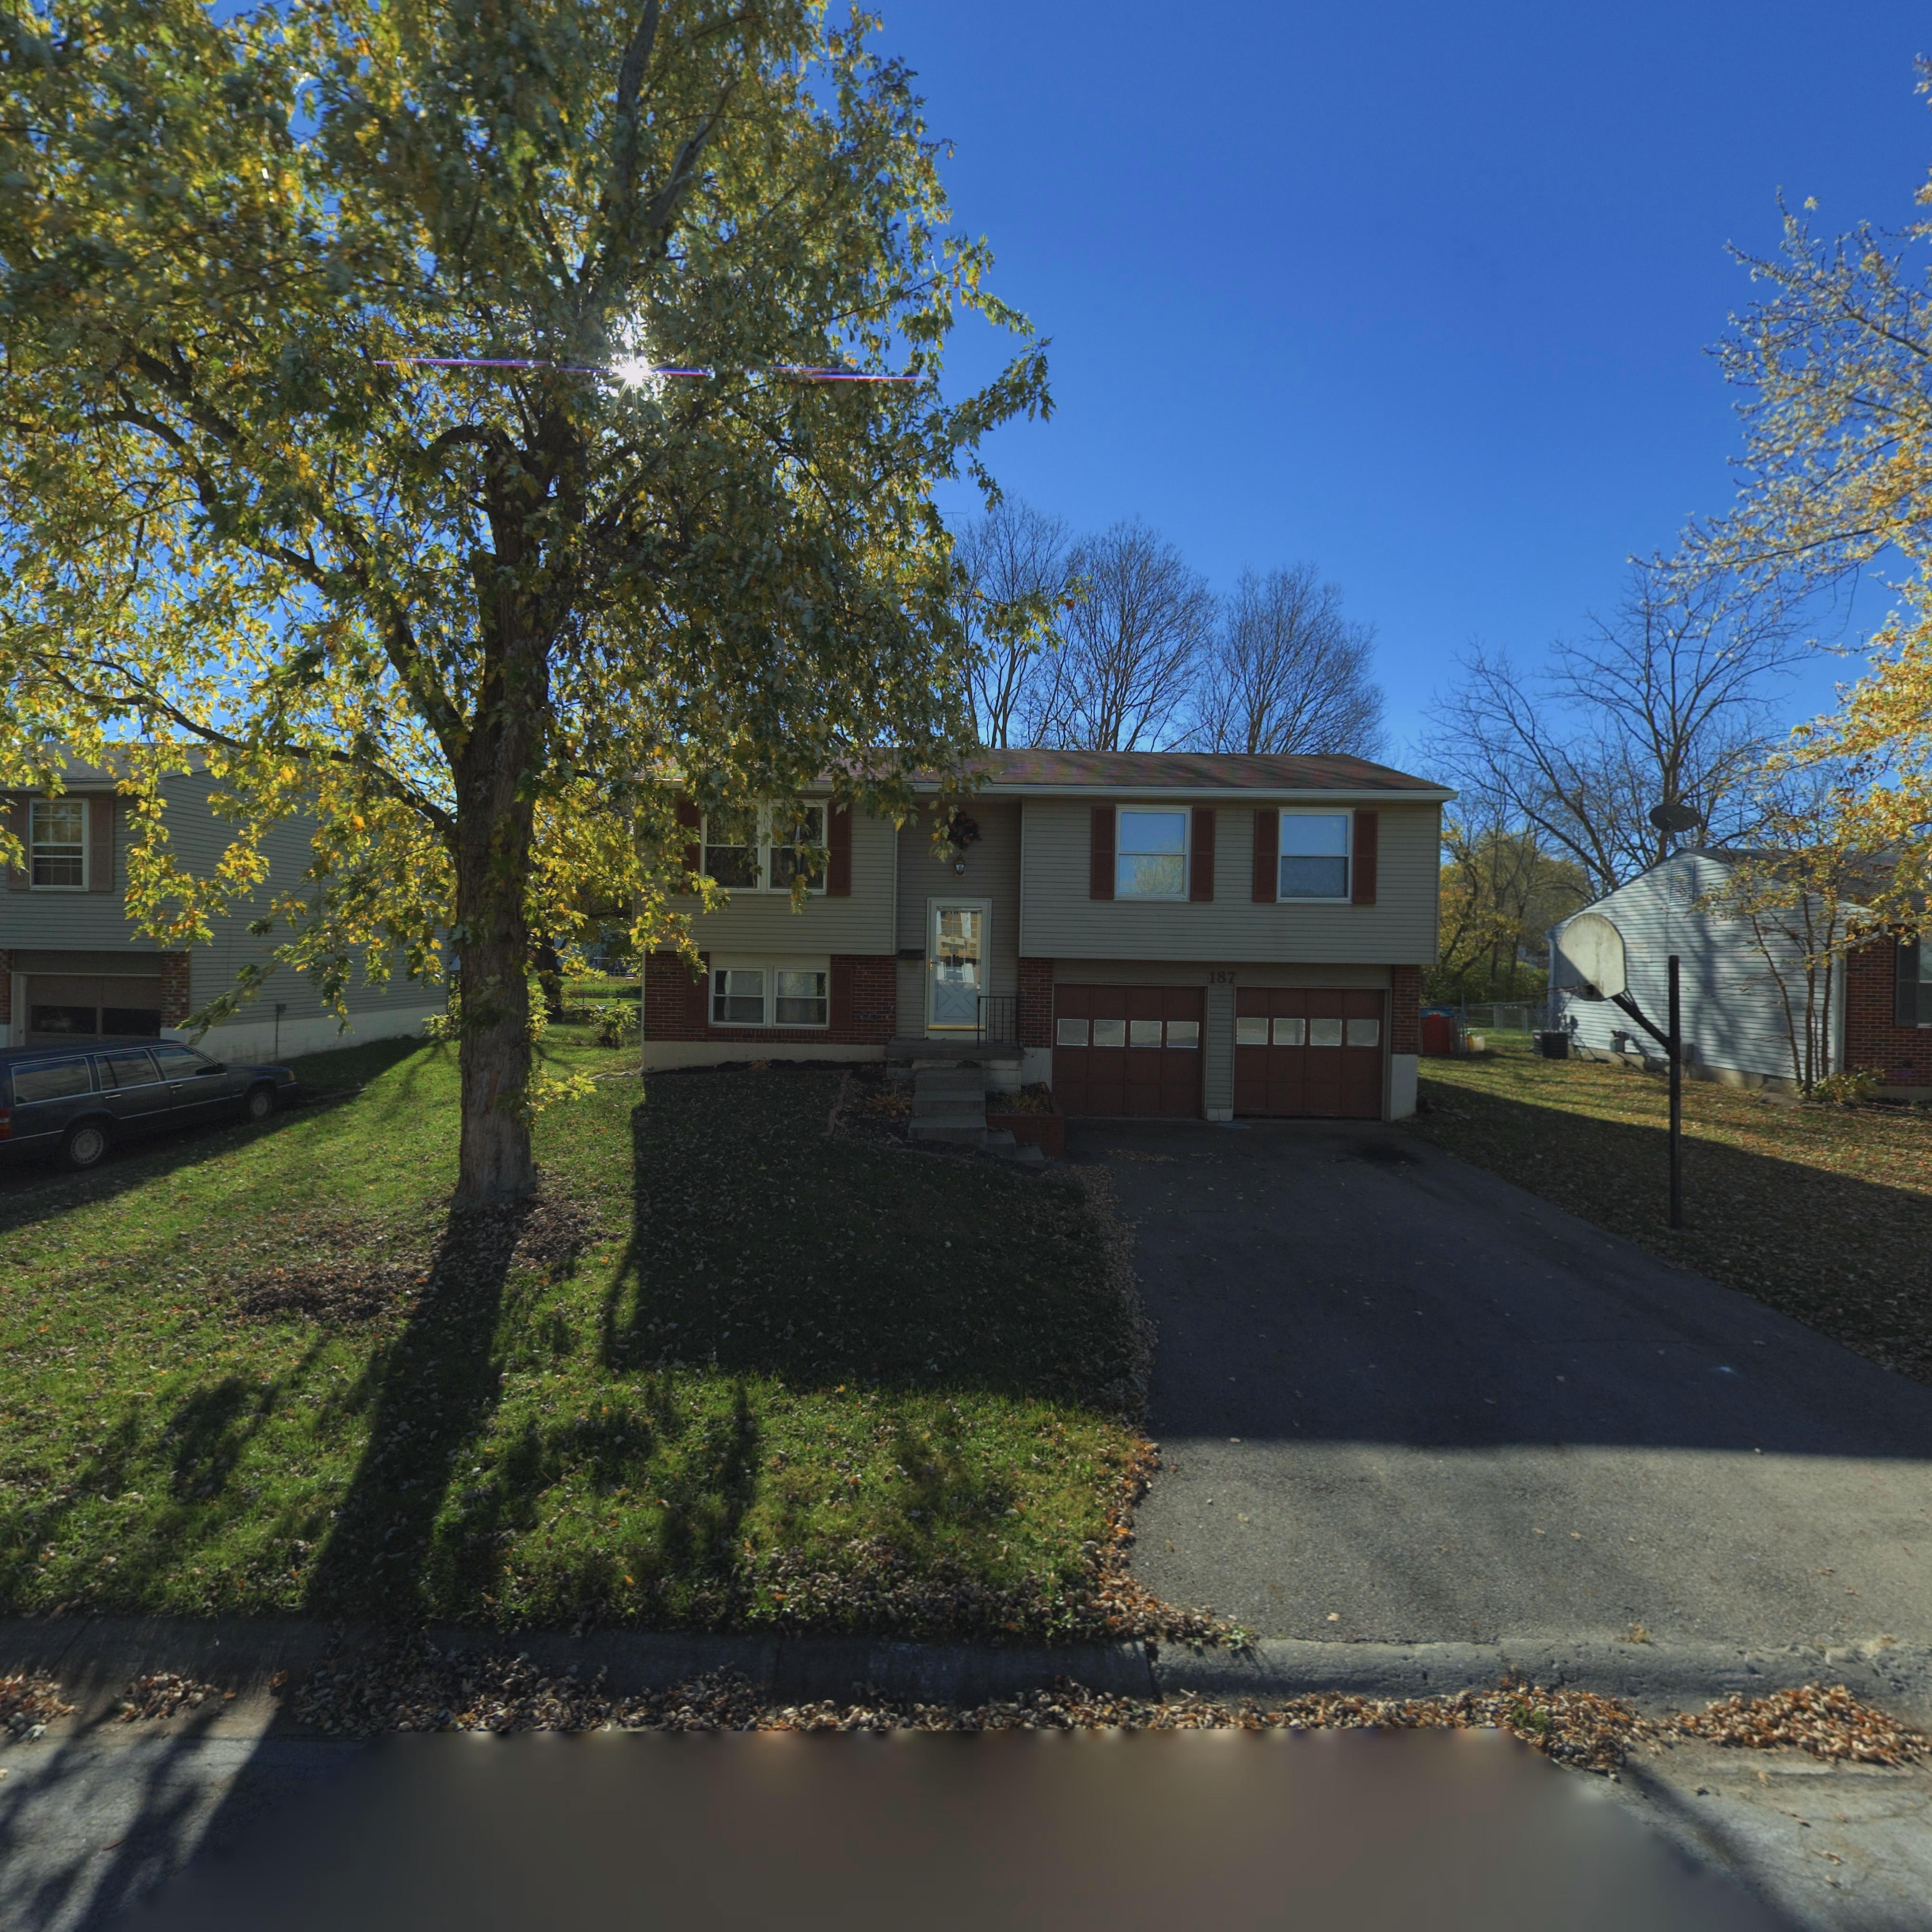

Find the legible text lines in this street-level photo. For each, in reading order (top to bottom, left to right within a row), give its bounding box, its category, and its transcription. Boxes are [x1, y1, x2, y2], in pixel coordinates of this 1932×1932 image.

[1208, 970, 1236, 985] StreetNumber: 187